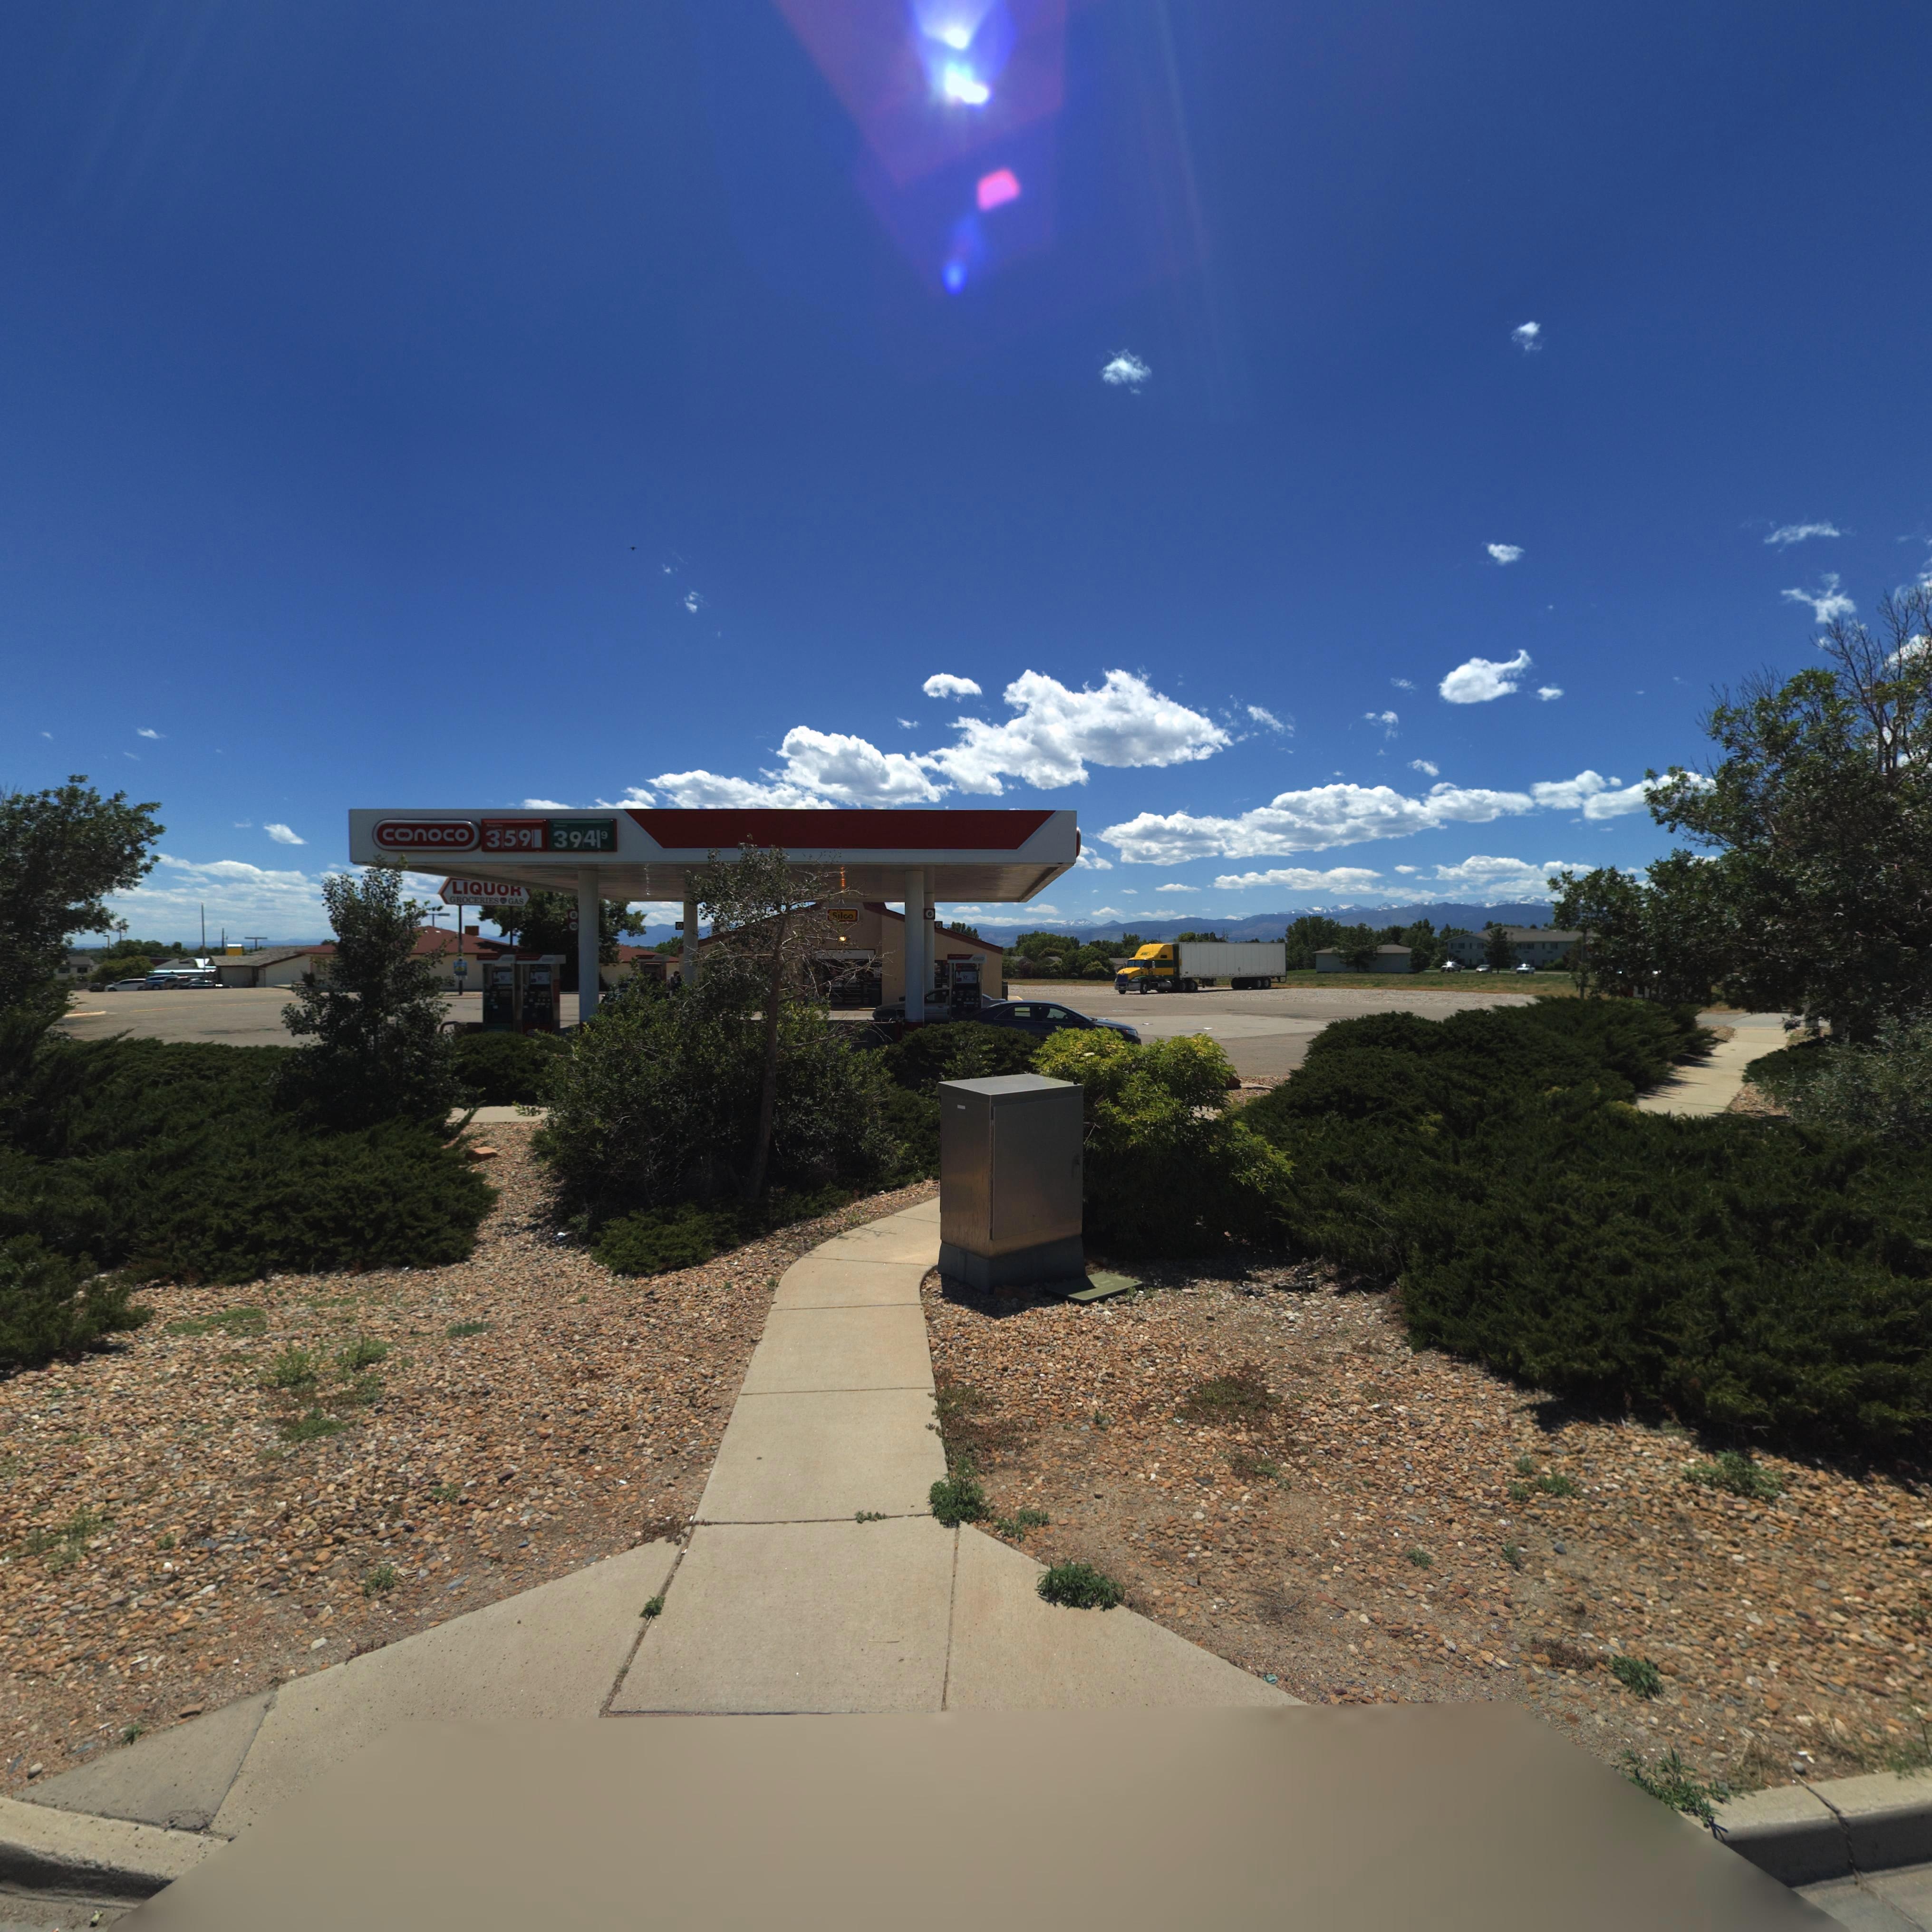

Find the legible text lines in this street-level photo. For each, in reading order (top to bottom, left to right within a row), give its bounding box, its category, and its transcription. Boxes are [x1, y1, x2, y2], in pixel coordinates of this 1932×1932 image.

[380, 828, 471, 841] StreetName: c*noco
[832, 911, 853, 919] BusinessName: Silco